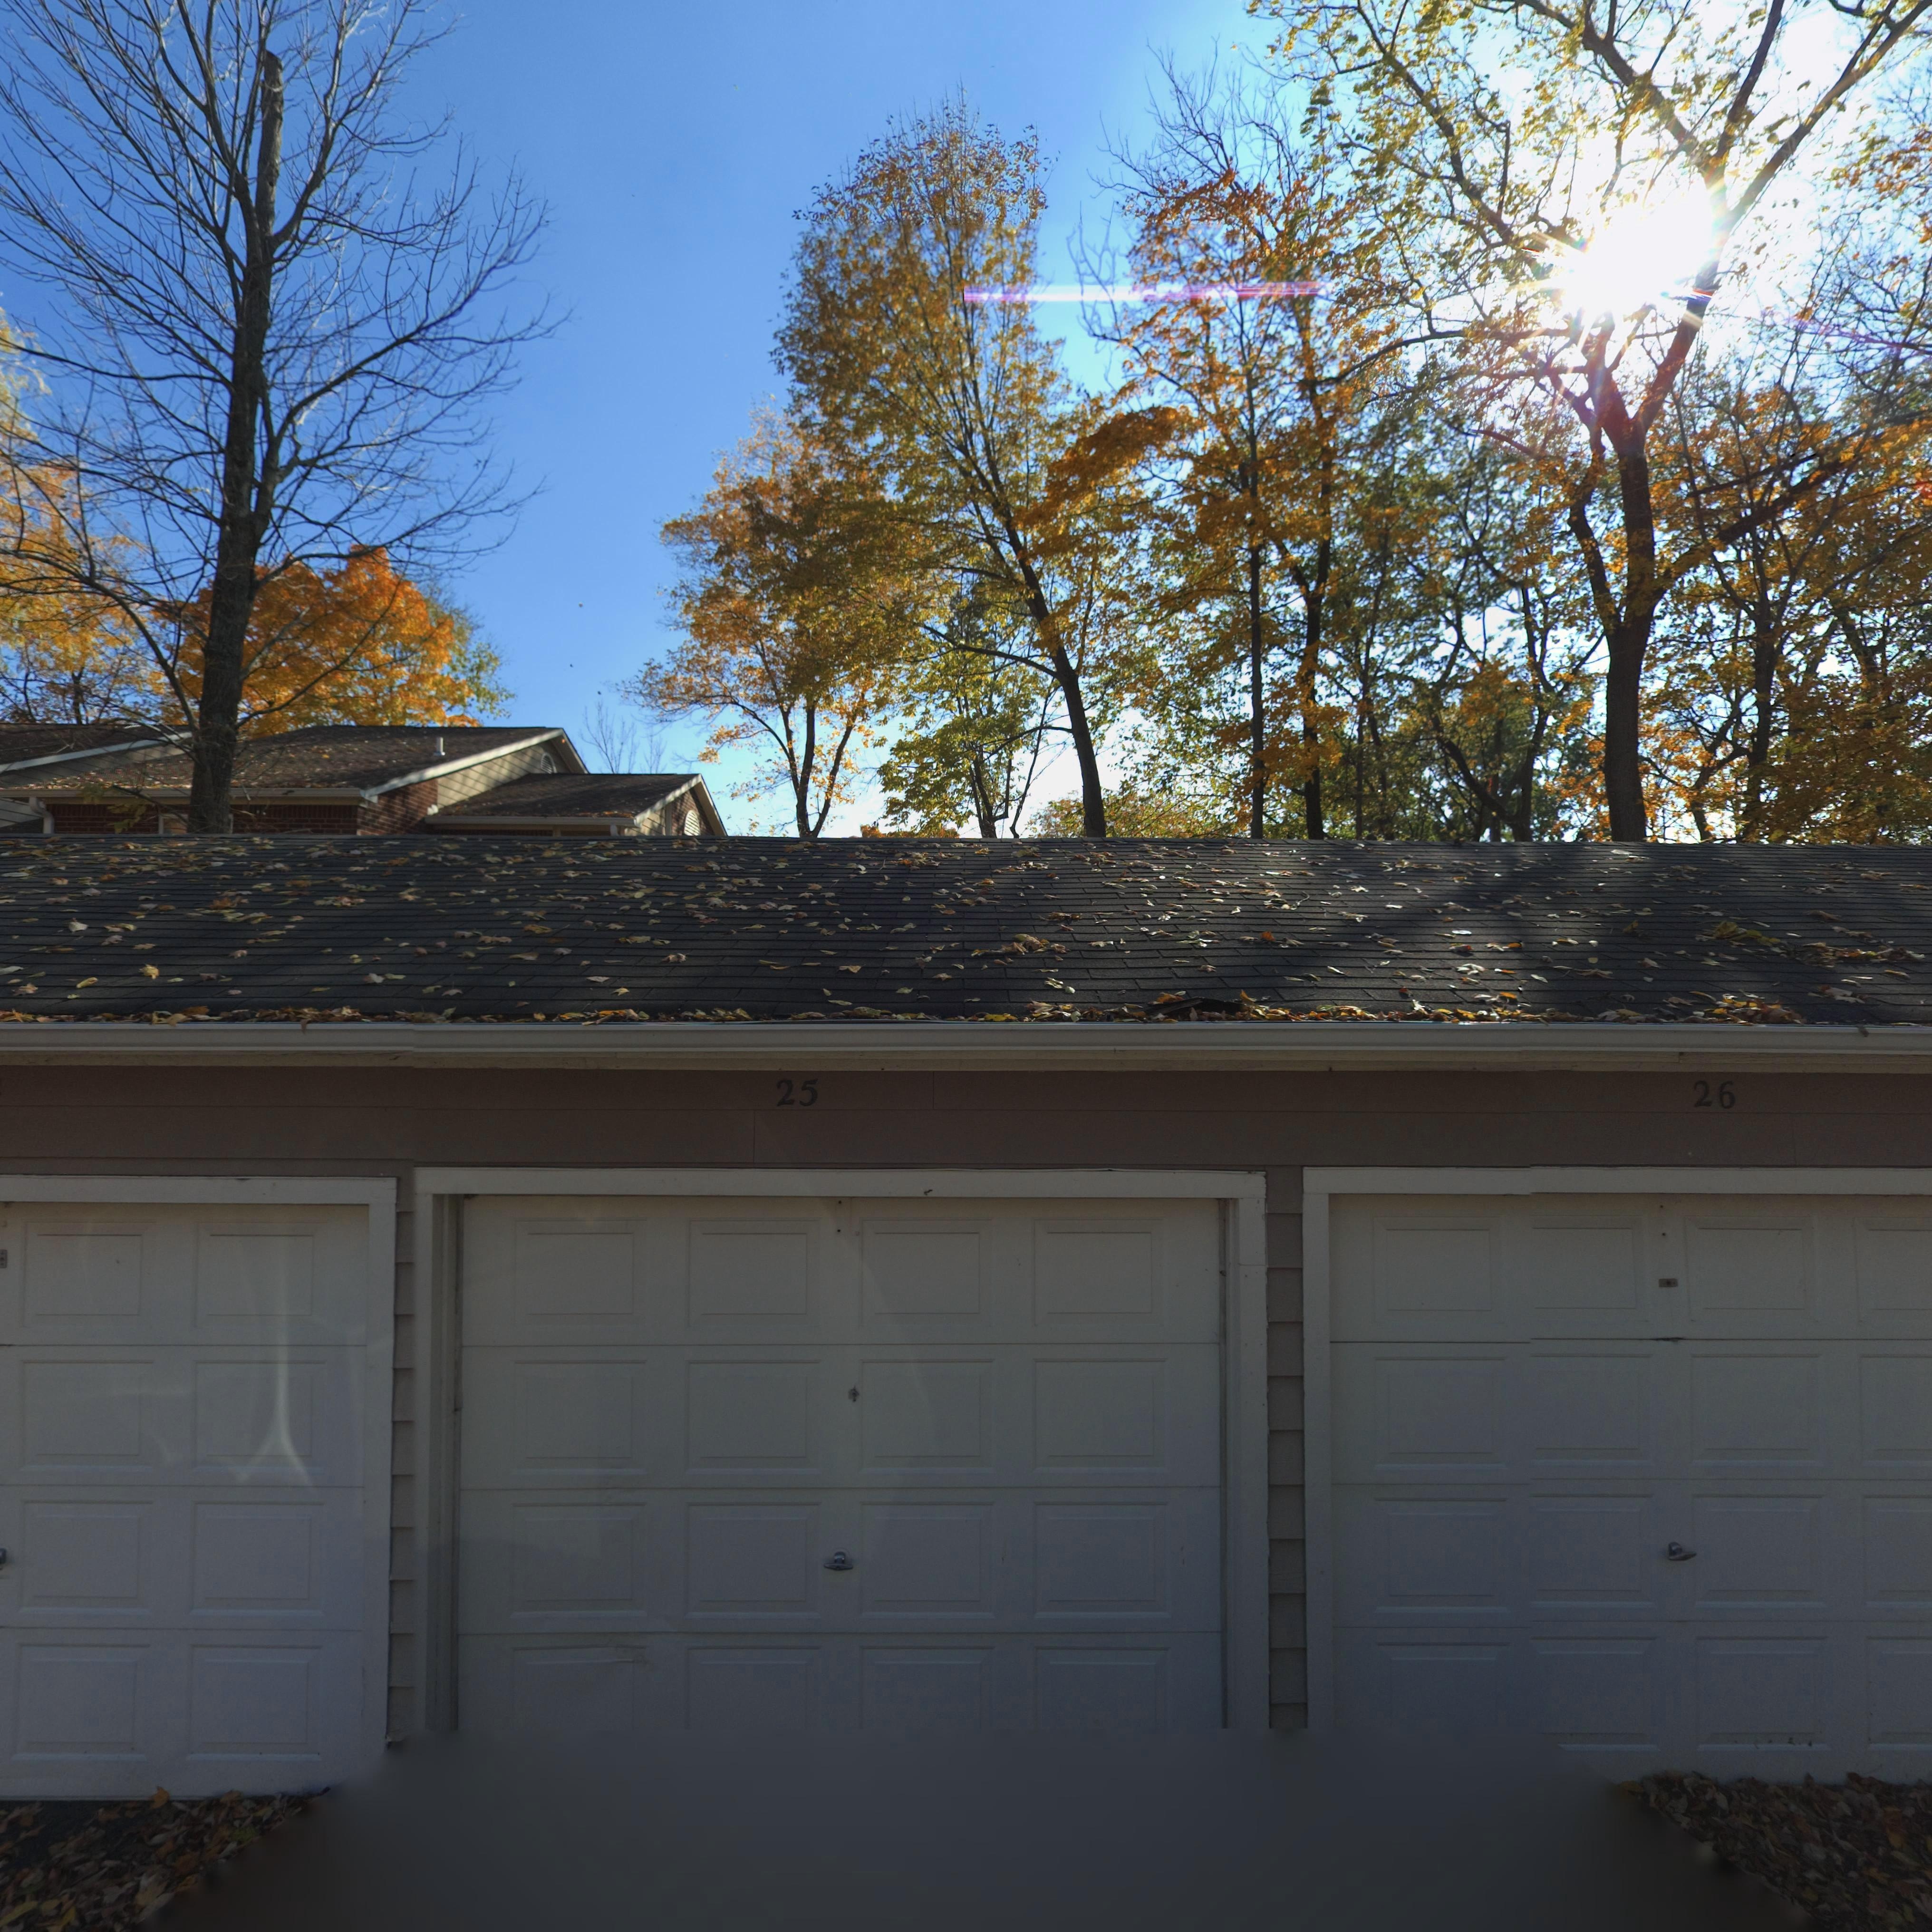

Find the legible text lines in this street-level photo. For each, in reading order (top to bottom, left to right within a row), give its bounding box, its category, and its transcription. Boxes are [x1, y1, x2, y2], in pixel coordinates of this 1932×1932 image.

[774, 1076, 821, 1110] StreetNumber: 25
[1692, 1079, 1738, 1111] StreetNumber: 26